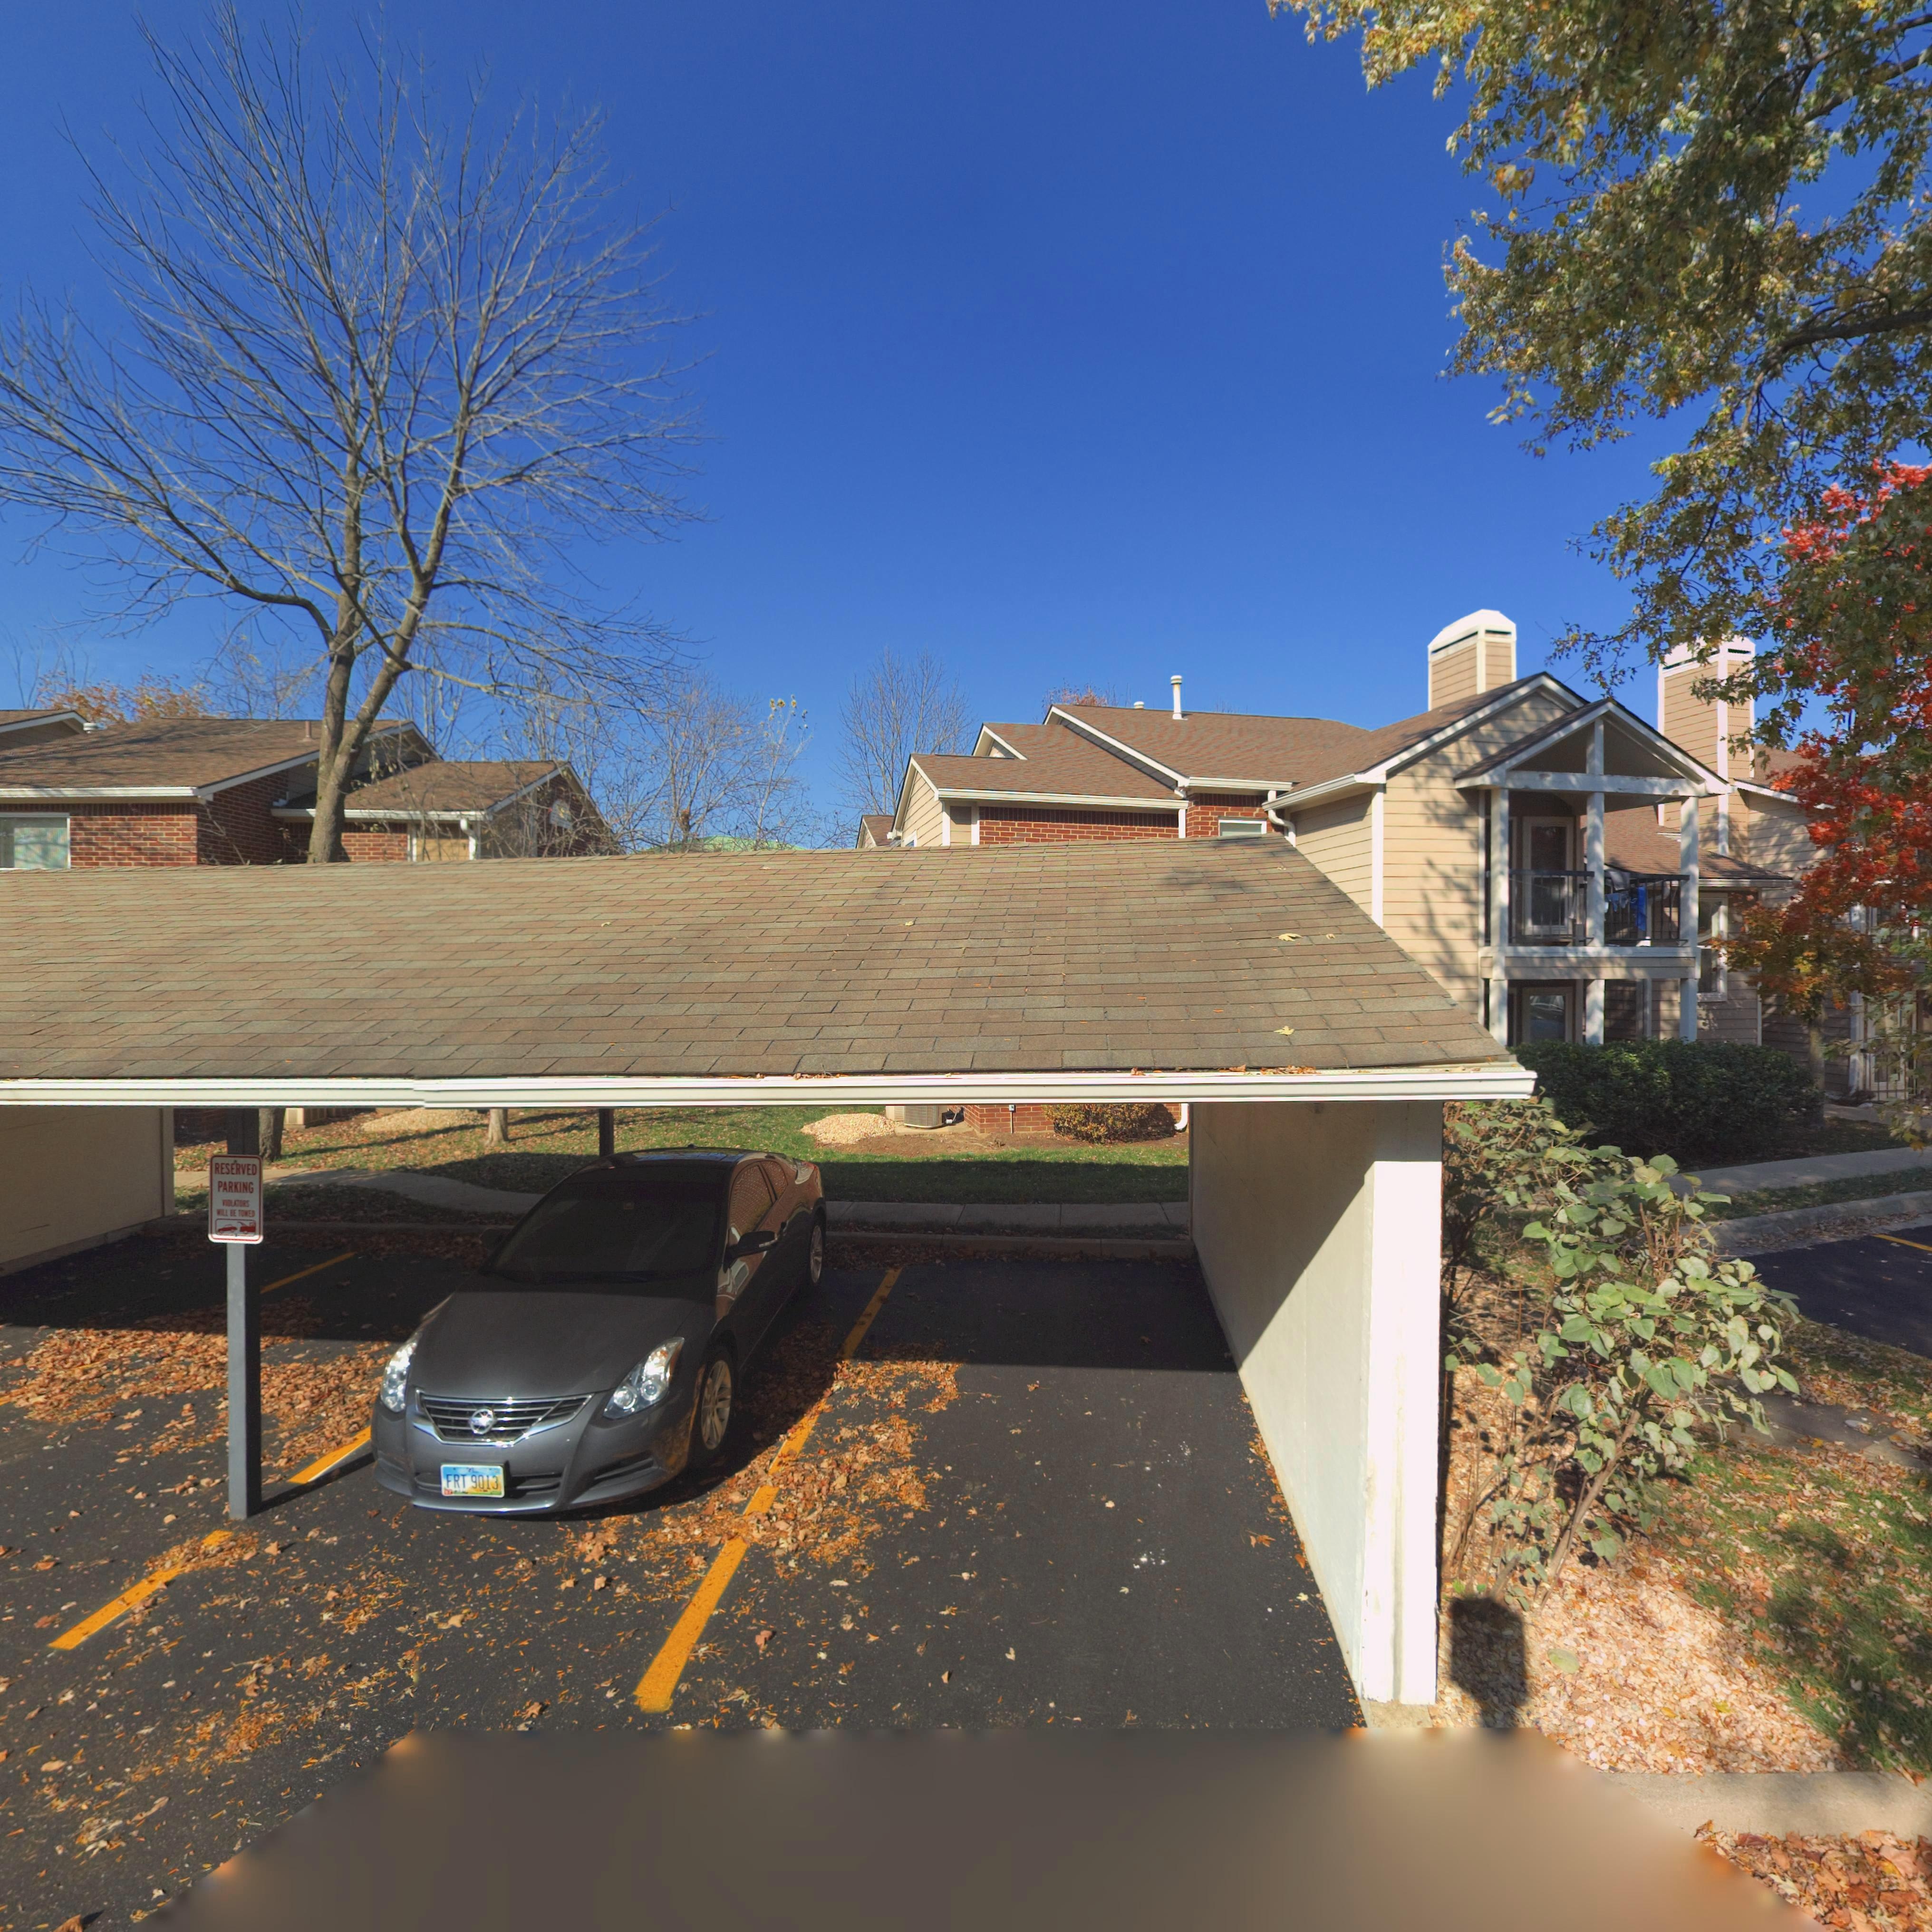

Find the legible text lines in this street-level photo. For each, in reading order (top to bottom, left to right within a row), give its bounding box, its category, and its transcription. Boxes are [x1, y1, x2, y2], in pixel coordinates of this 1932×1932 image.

[213, 1161, 258, 1176] None: RESERVED
[217, 1179, 255, 1194] None: PARKING
[445, 1473, 499, 1491] None: FRT 9013